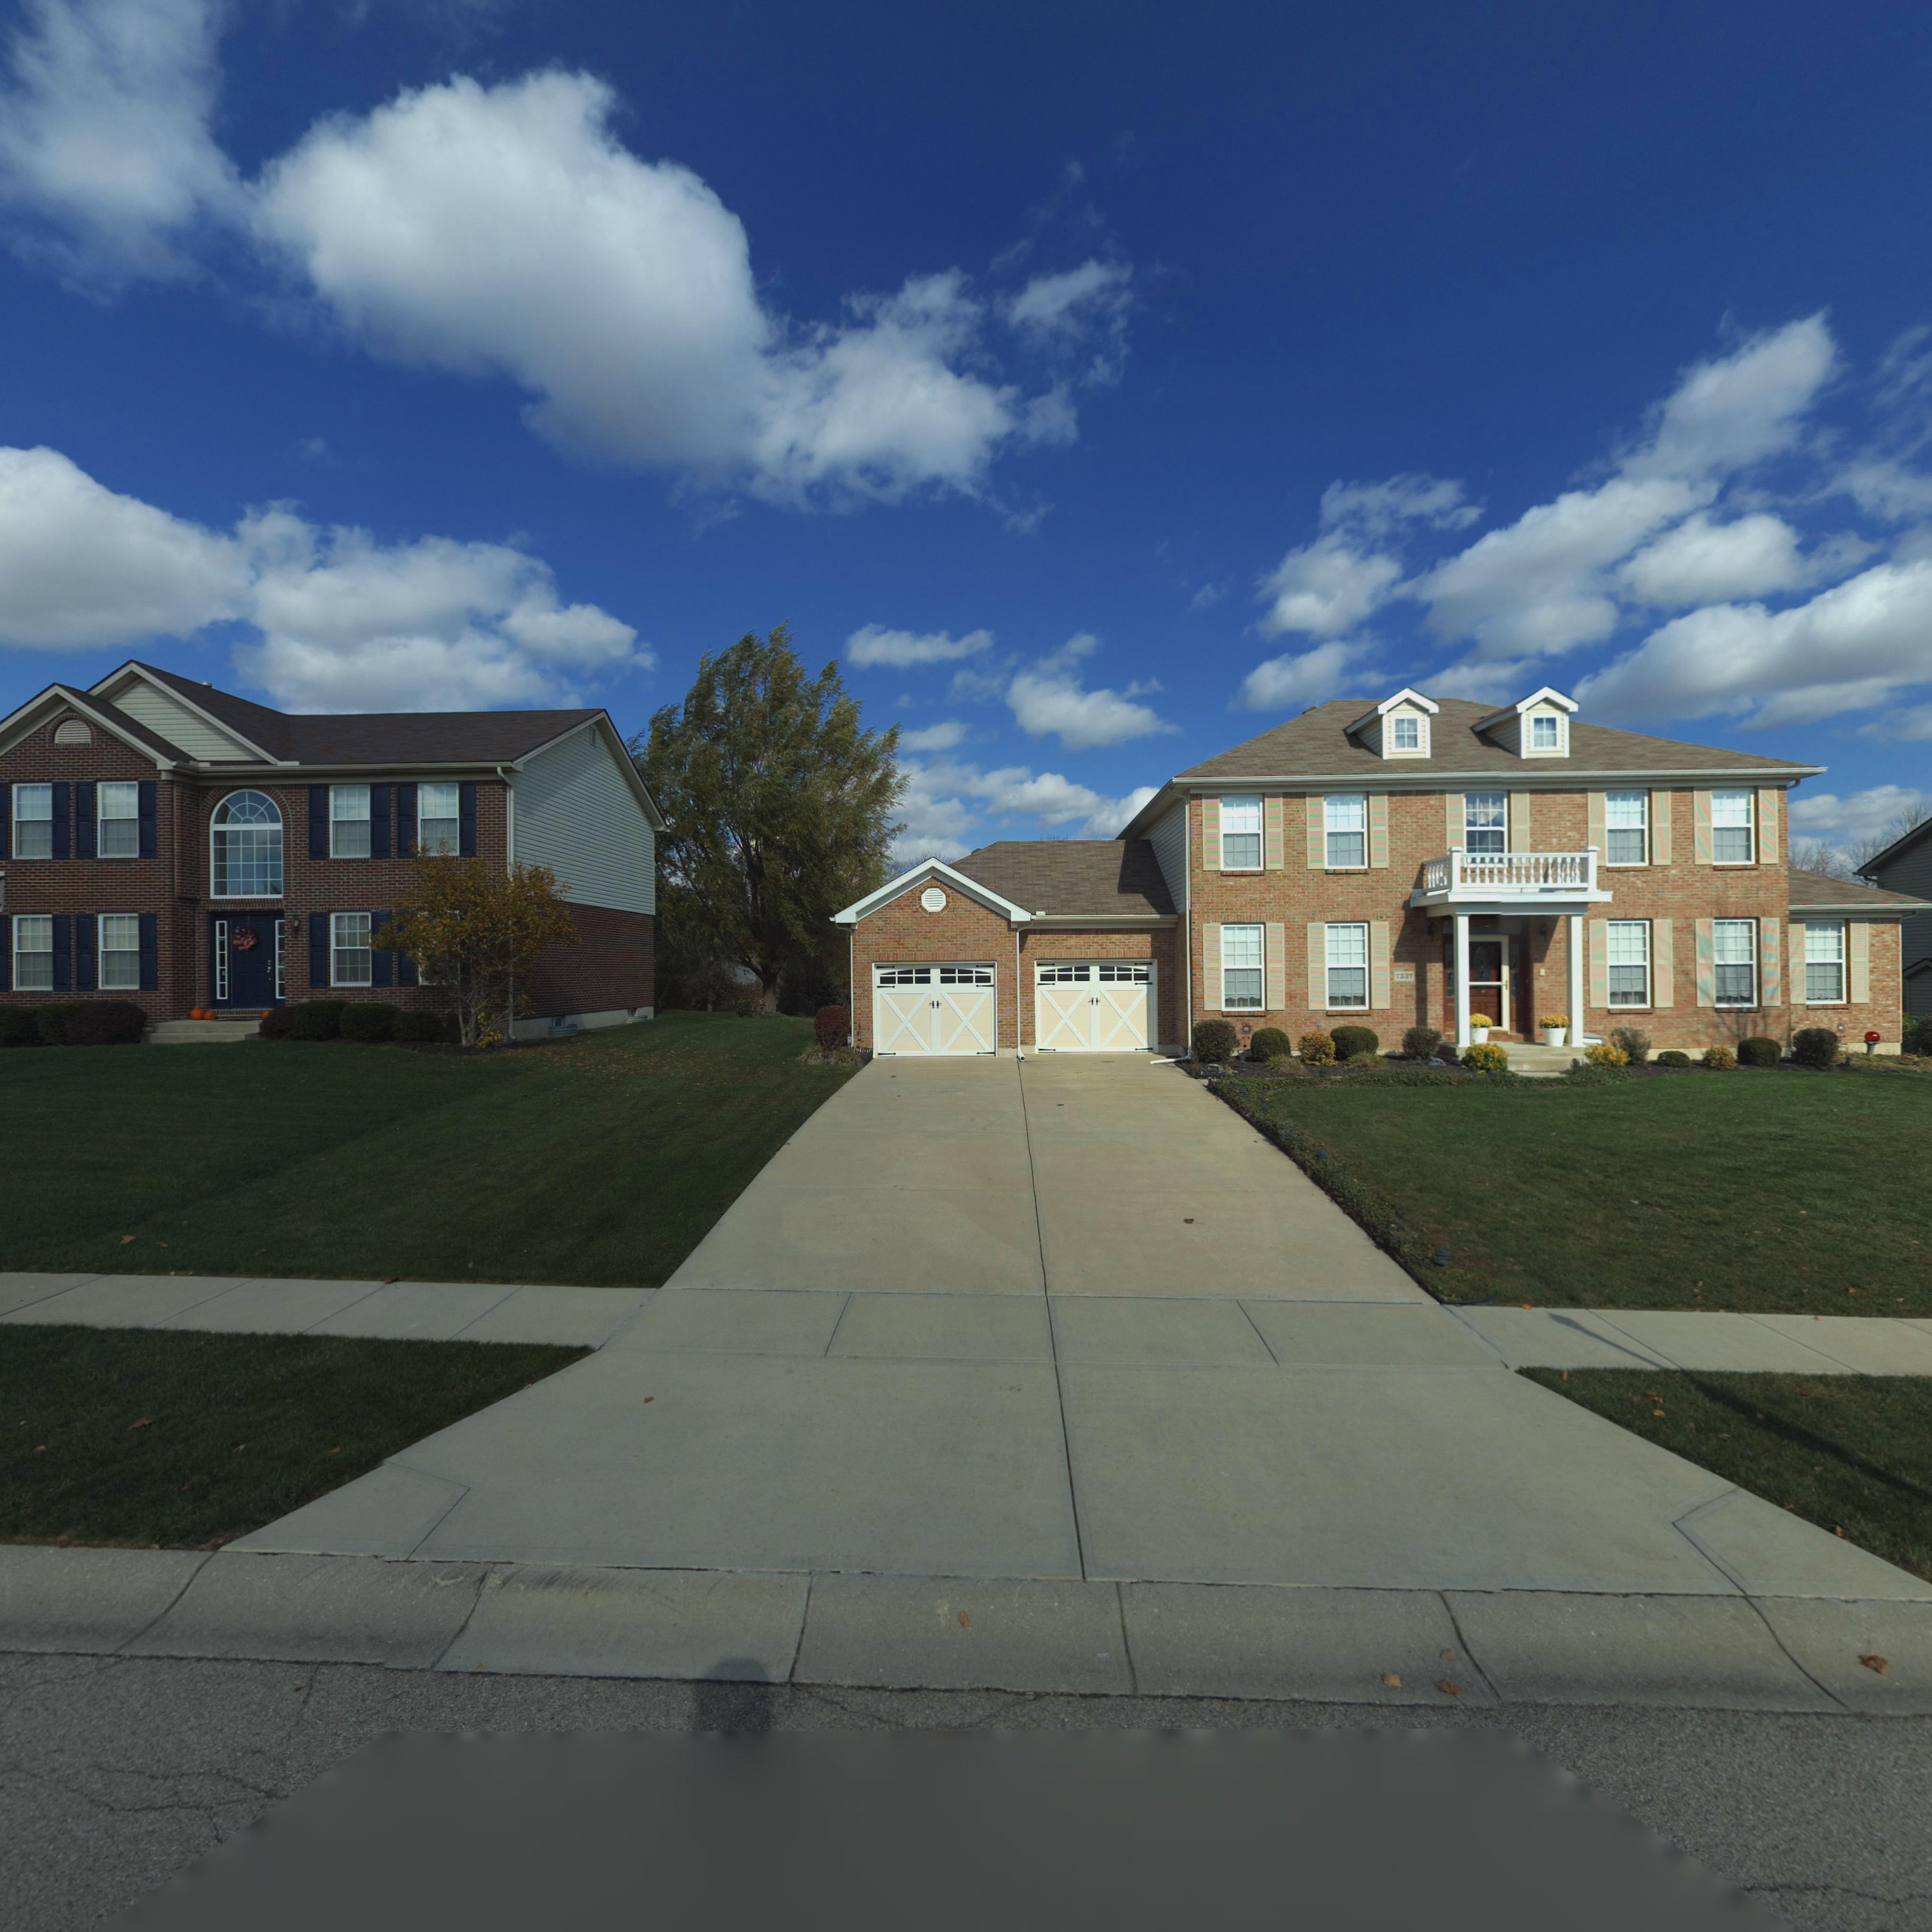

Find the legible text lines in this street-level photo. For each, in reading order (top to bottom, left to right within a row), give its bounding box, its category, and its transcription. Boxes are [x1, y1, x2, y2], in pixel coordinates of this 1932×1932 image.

[1395, 973, 1414, 979] StreetNumber: 7337